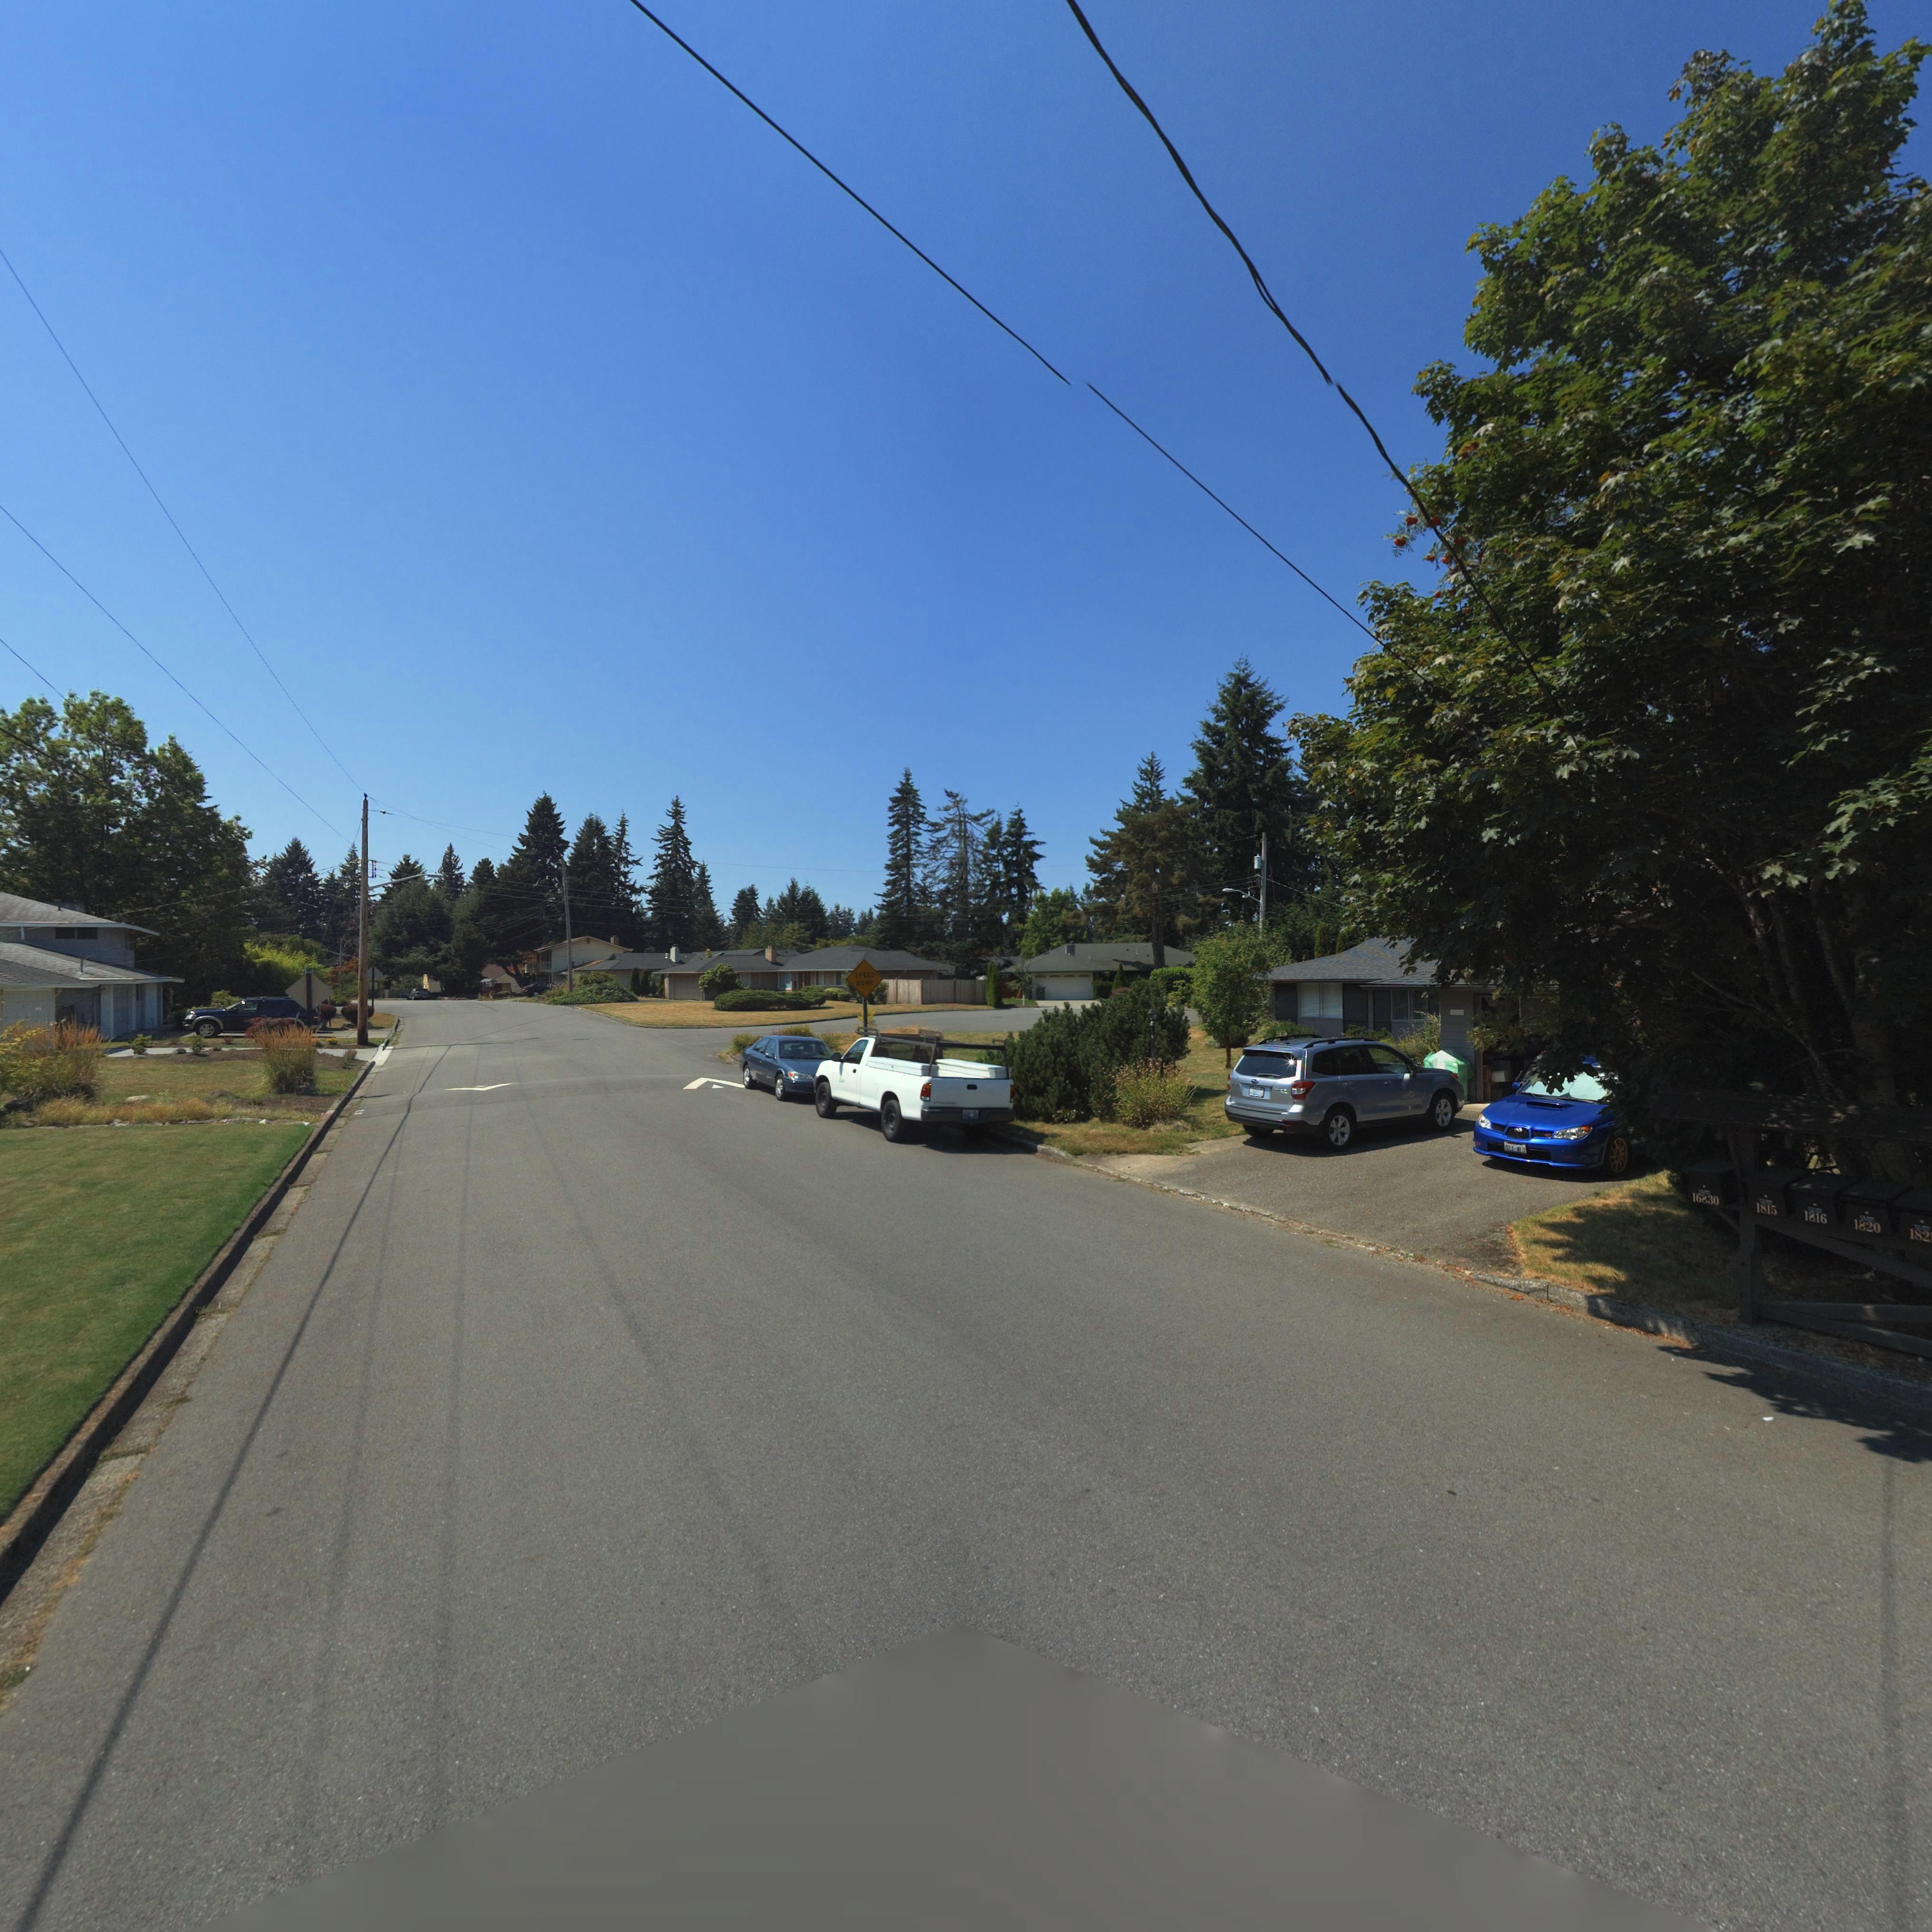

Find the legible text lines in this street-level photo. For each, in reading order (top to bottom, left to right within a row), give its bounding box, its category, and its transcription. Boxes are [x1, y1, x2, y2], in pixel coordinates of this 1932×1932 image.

[1691, 1191, 1719, 1206] StreetNumber: 16830
[1756, 1202, 1777, 1216] StreetNumber: 1815
[1804, 1210, 1827, 1225] StreetNumber: 1816
[1853, 1217, 1882, 1233] StreetNumber: 1820
[1909, 1227, 1932, 1245] StreetNumber: 182*